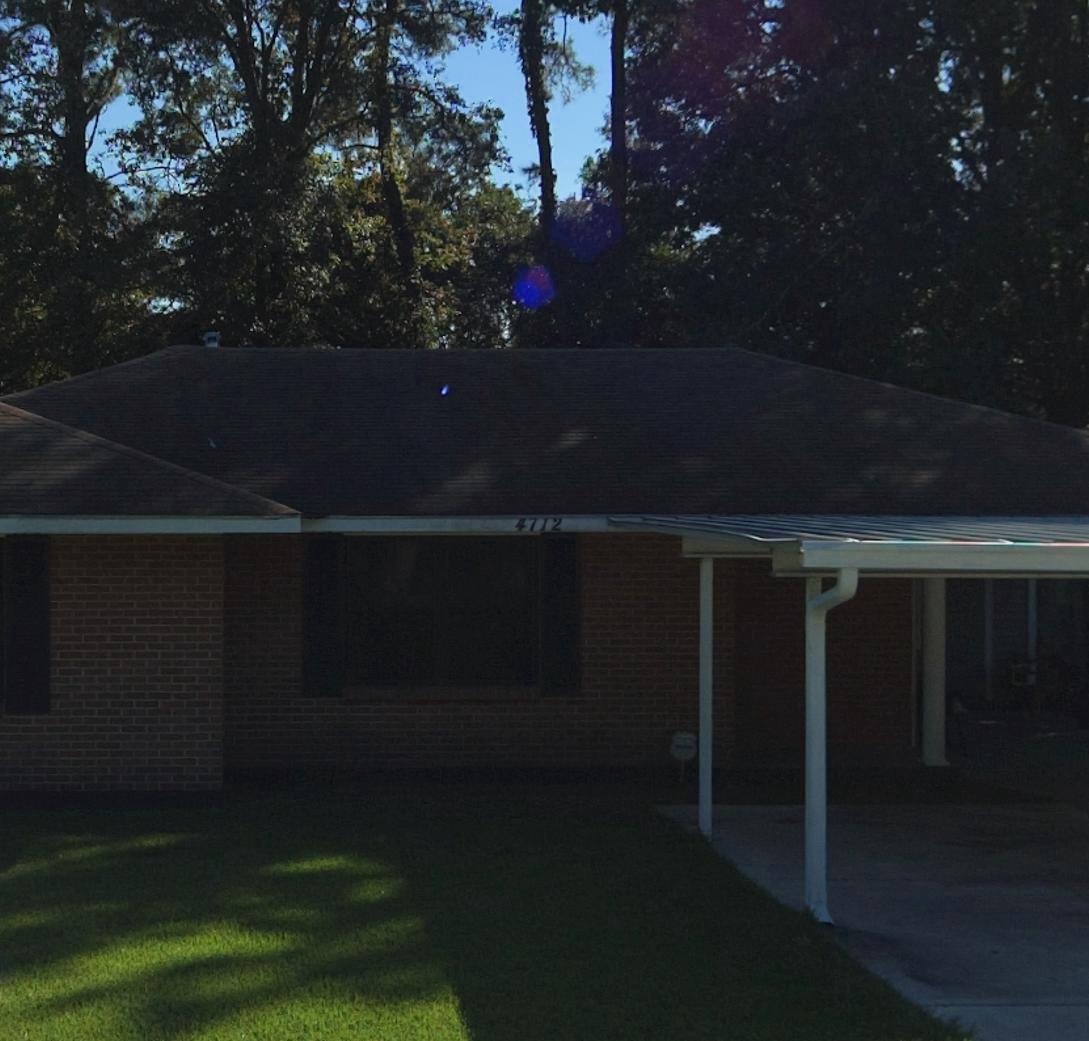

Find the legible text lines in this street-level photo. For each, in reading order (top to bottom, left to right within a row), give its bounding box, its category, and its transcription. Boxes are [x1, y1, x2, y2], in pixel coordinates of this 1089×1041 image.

[513, 517, 562, 532] StreetNumber: 471*